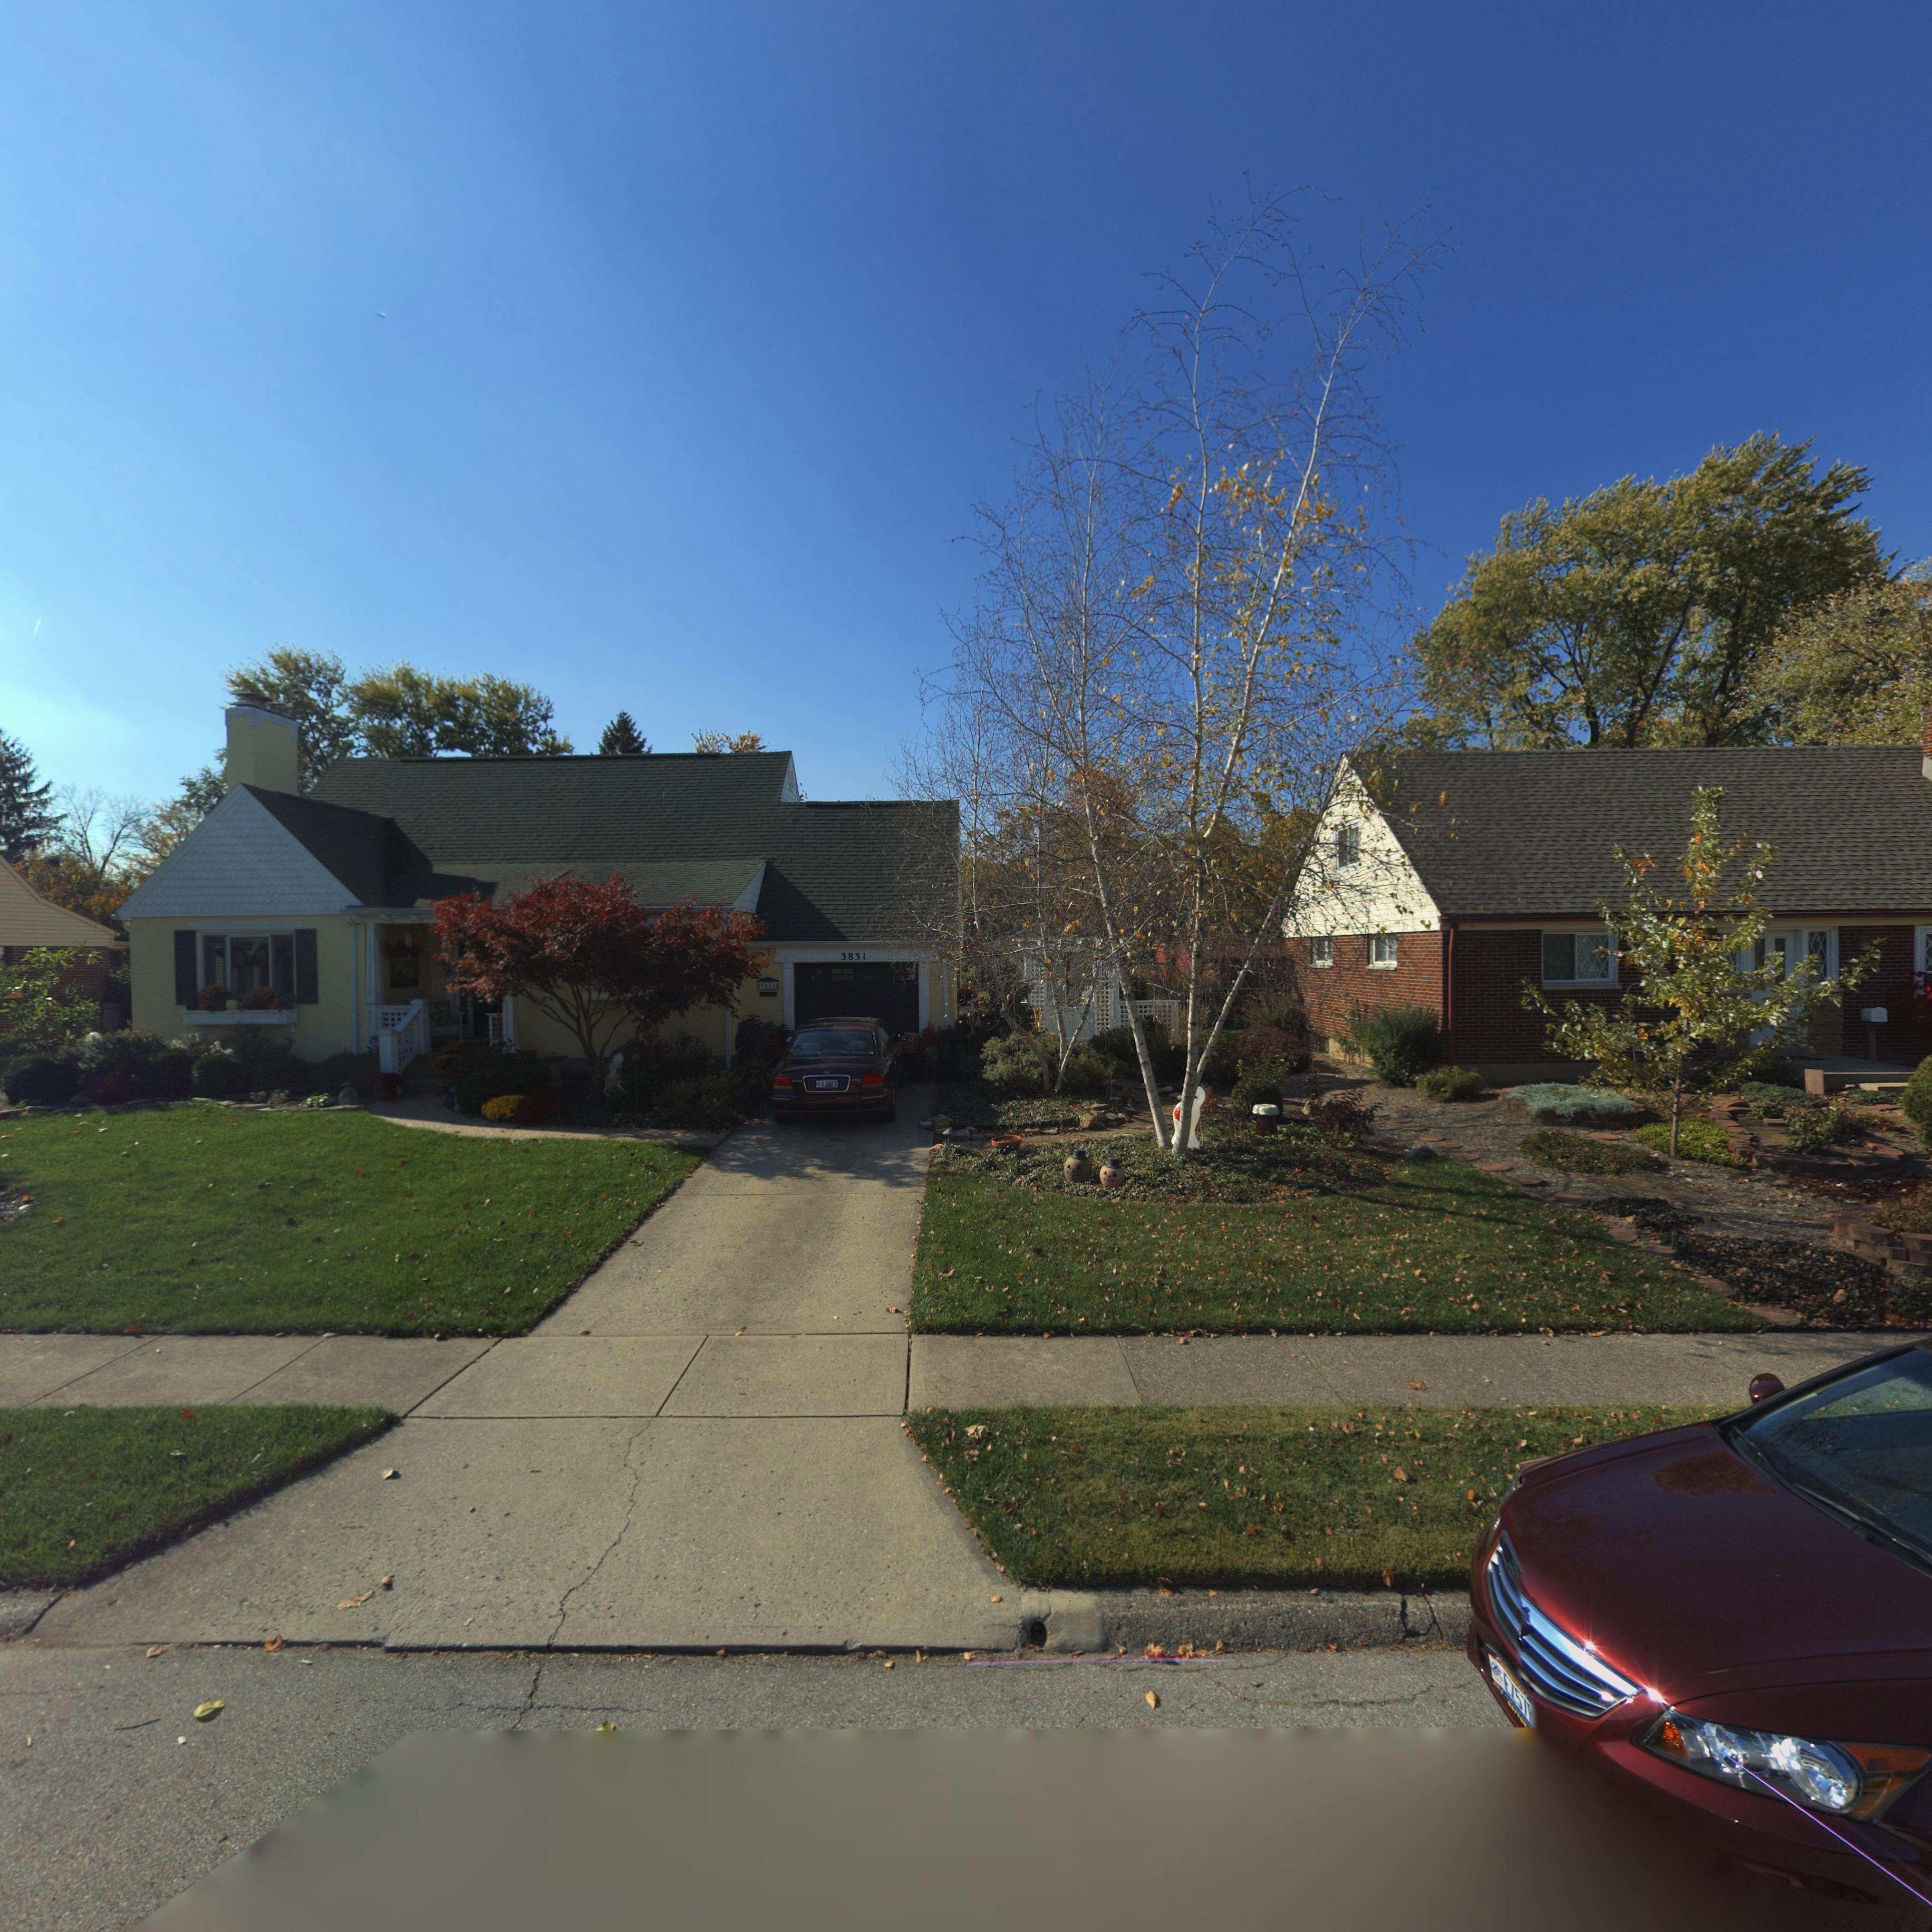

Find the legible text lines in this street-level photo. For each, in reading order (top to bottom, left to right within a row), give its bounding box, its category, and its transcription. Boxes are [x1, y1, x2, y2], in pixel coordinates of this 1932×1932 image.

[840, 952, 866, 961] StreetNumber: 3831
[760, 983, 775, 989] StreetNumber: 3831
[821, 1081, 838, 1088] None: AJ**FX
[1503, 1671, 1527, 1719] None: FZ57